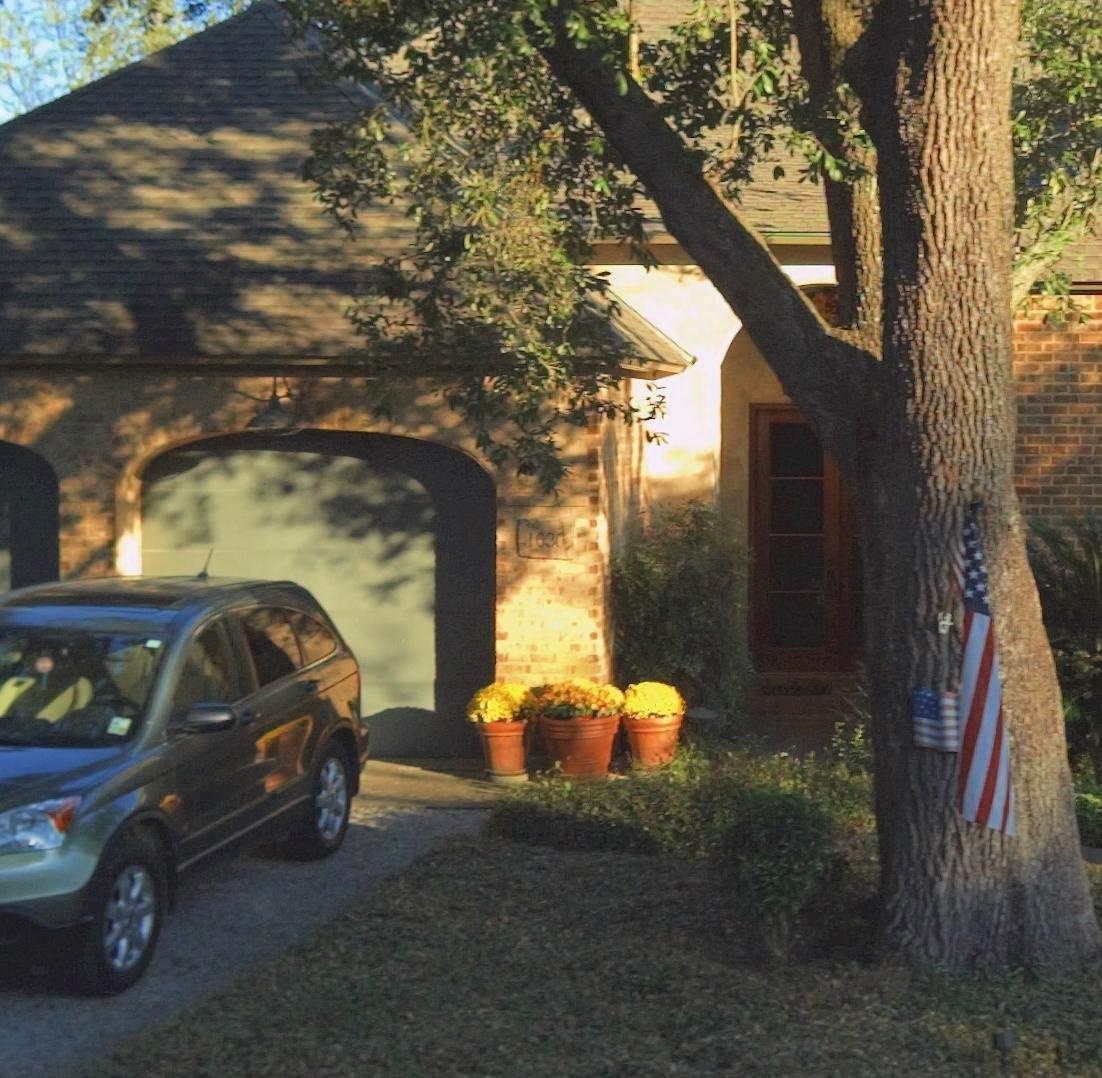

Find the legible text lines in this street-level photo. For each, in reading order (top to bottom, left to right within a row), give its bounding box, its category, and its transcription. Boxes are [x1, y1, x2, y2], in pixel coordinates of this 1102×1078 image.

[526, 531, 568, 550] StreetNumber: 1630